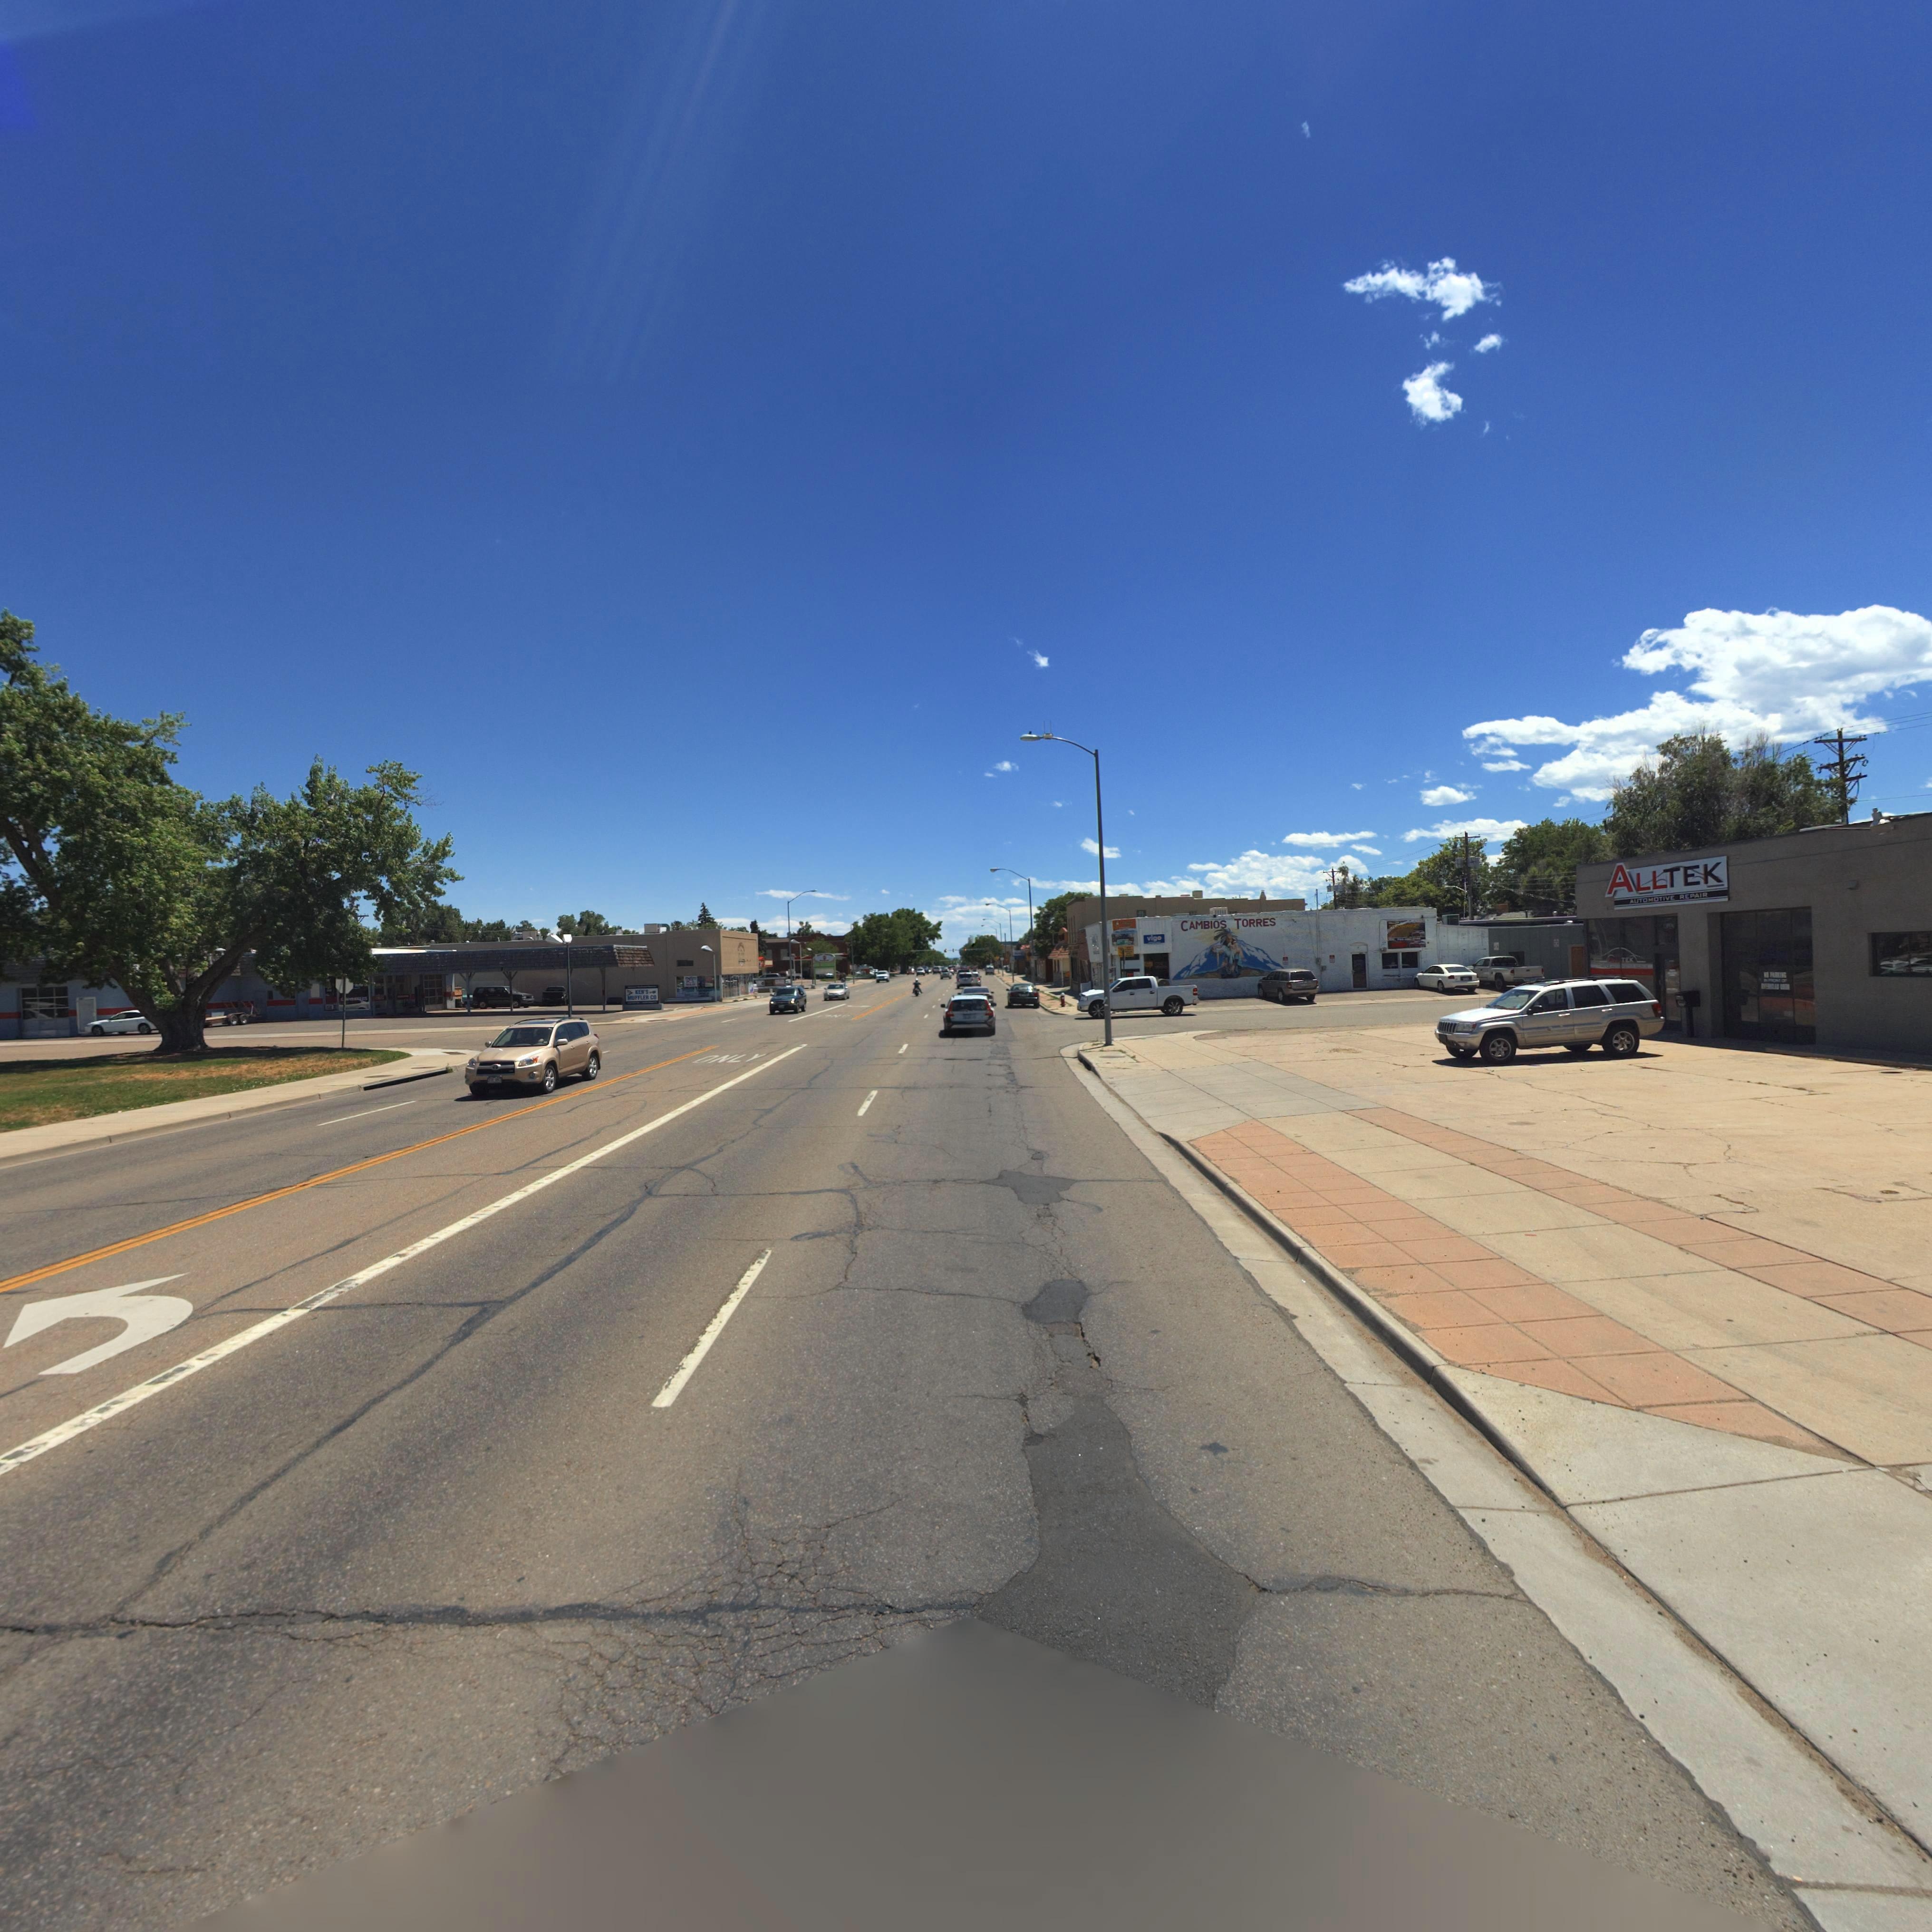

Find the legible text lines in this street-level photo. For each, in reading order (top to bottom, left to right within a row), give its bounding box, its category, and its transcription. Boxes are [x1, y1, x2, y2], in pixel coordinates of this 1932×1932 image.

[1604, 861, 1724, 897] BusinessName: ALLTEK
[1629, 892, 1708, 904] BusinessName: AUTOMOTIVE REPAIR
[1180, 917, 1276, 932] BusinessName: CAMBIOS TORRES
[1608, 956, 1633, 963] BusinessName: ALLTEK
[635, 989, 648, 994] BusinessName: KEN'S
[627, 995, 657, 1000] BusinessName: MUFFLER CO